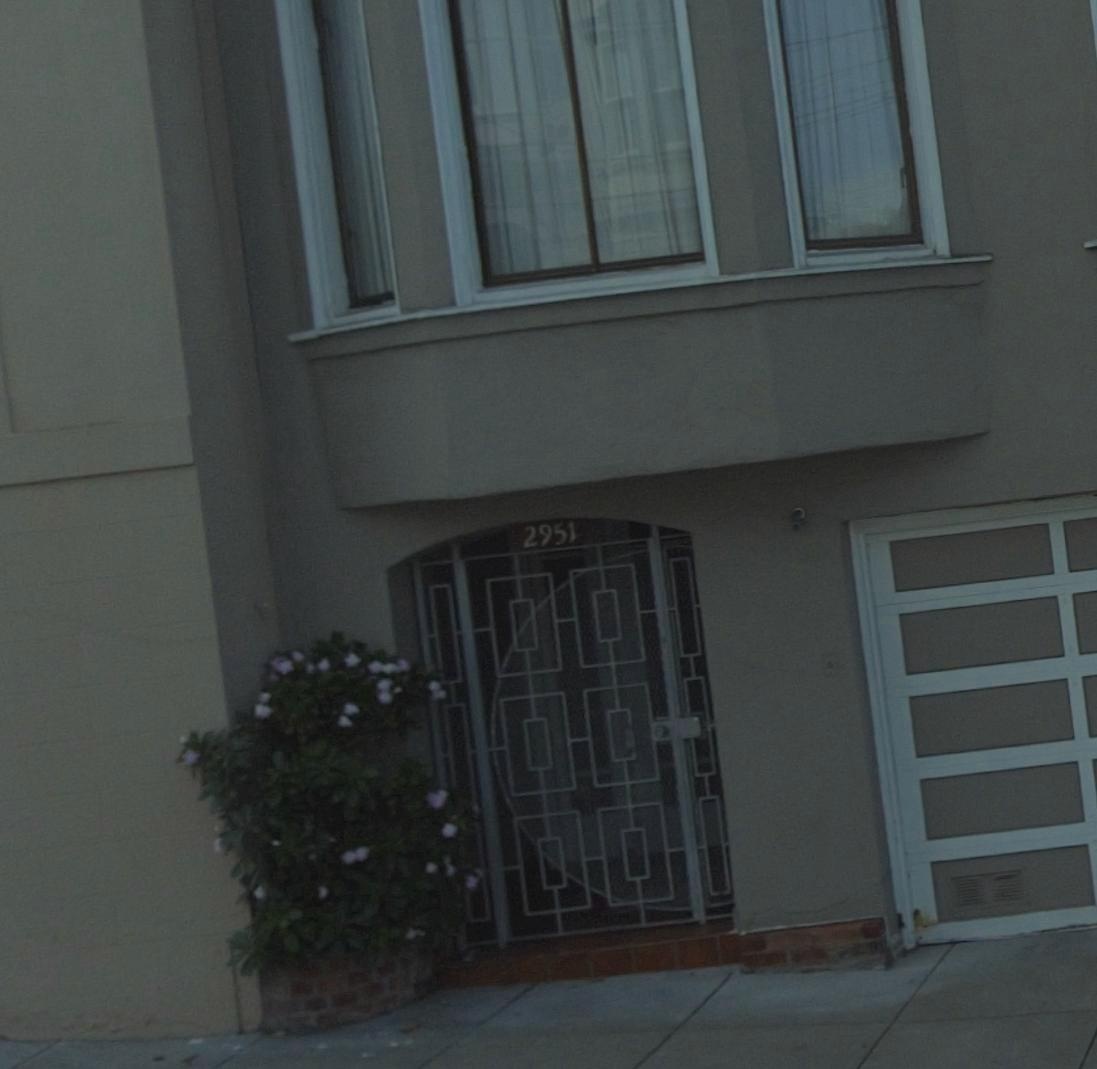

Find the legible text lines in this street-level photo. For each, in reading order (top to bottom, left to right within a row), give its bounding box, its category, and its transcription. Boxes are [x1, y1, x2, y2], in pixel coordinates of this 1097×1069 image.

[521, 516, 582, 553] StreetNumber: 2951